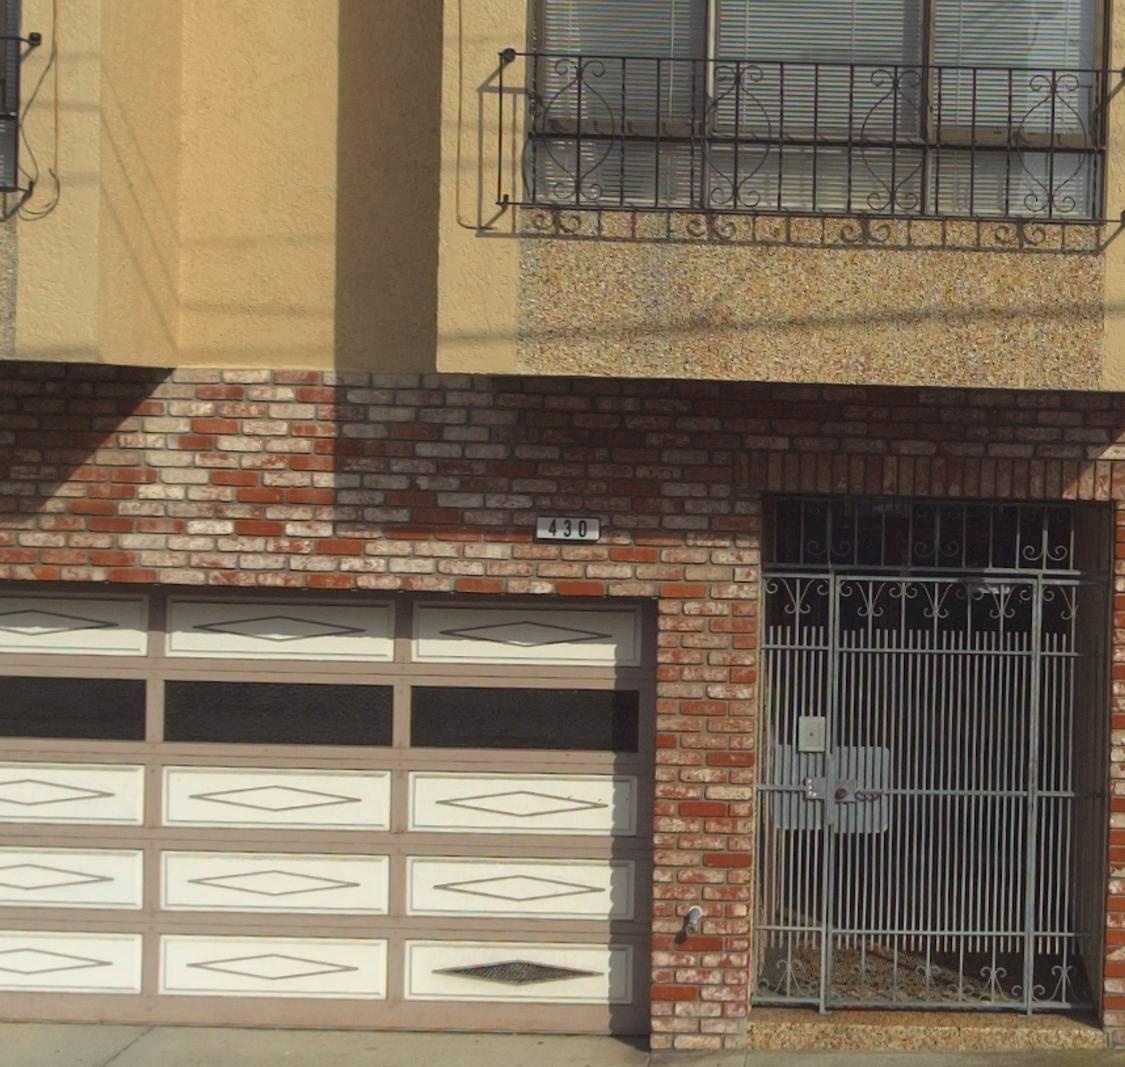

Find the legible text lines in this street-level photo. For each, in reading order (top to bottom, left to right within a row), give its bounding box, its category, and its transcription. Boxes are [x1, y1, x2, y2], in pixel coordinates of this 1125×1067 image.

[546, 518, 589, 538] StreetNumber: 430